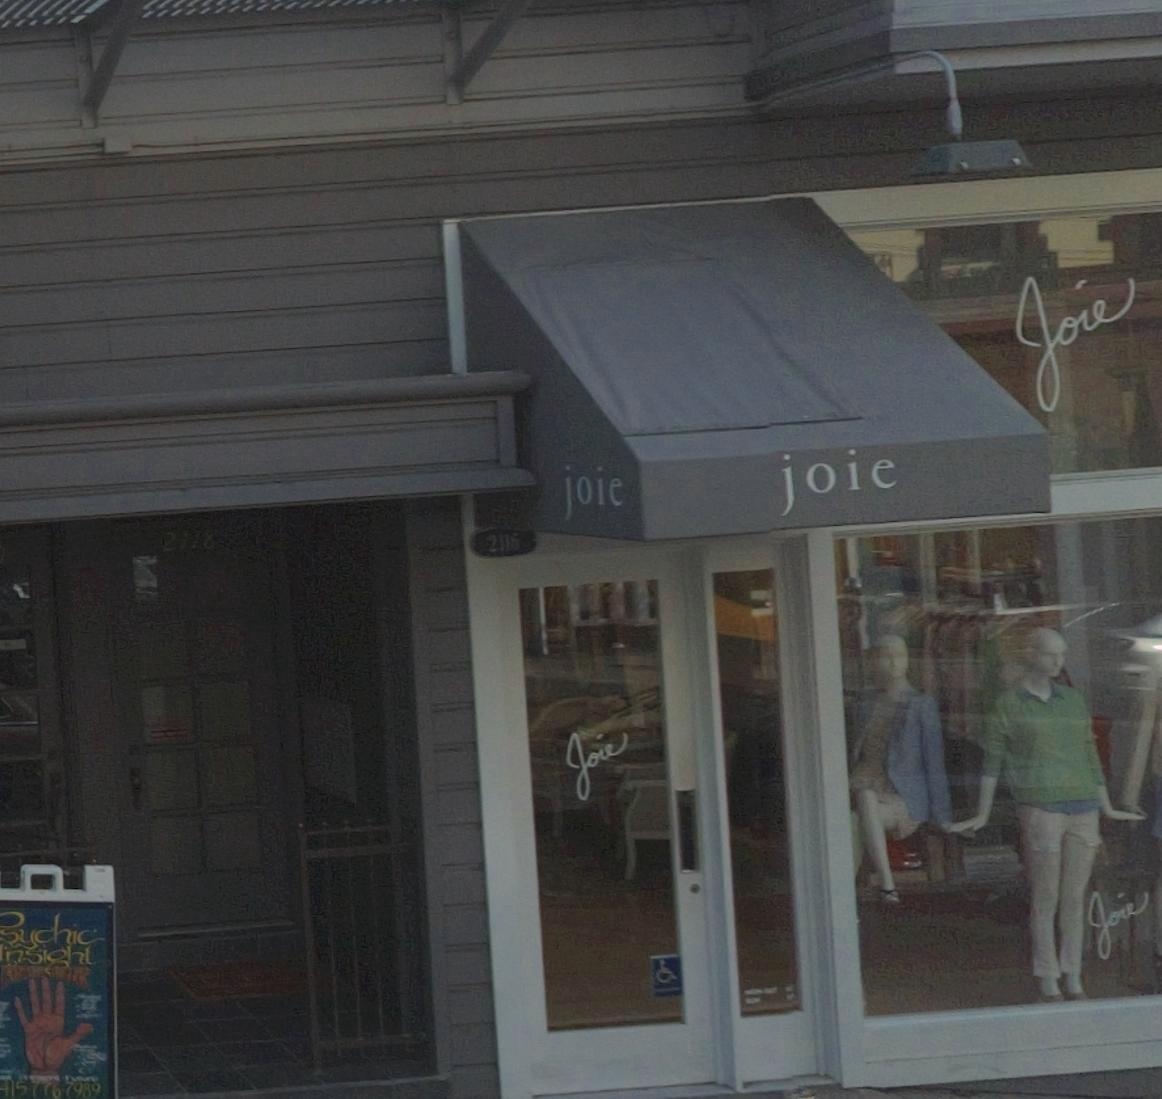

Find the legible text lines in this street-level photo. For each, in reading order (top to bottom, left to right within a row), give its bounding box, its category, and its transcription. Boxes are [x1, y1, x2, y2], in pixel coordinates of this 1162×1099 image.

[1009, 266, 1139, 419] BusinessName: Joie
[561, 461, 625, 525] BusinessName: joie
[776, 446, 902, 521] BusinessName: joie
[158, 526, 219, 556] StreetNumber: 2118
[485, 532, 523, 553] StreetNumber: 211*
[560, 725, 631, 805] BusinessName: Joie
[3, 940, 100, 979] None: nsight
[0, 911, 106, 953] None: sychic
[1080, 884, 1151, 964] BusinessName: Joie